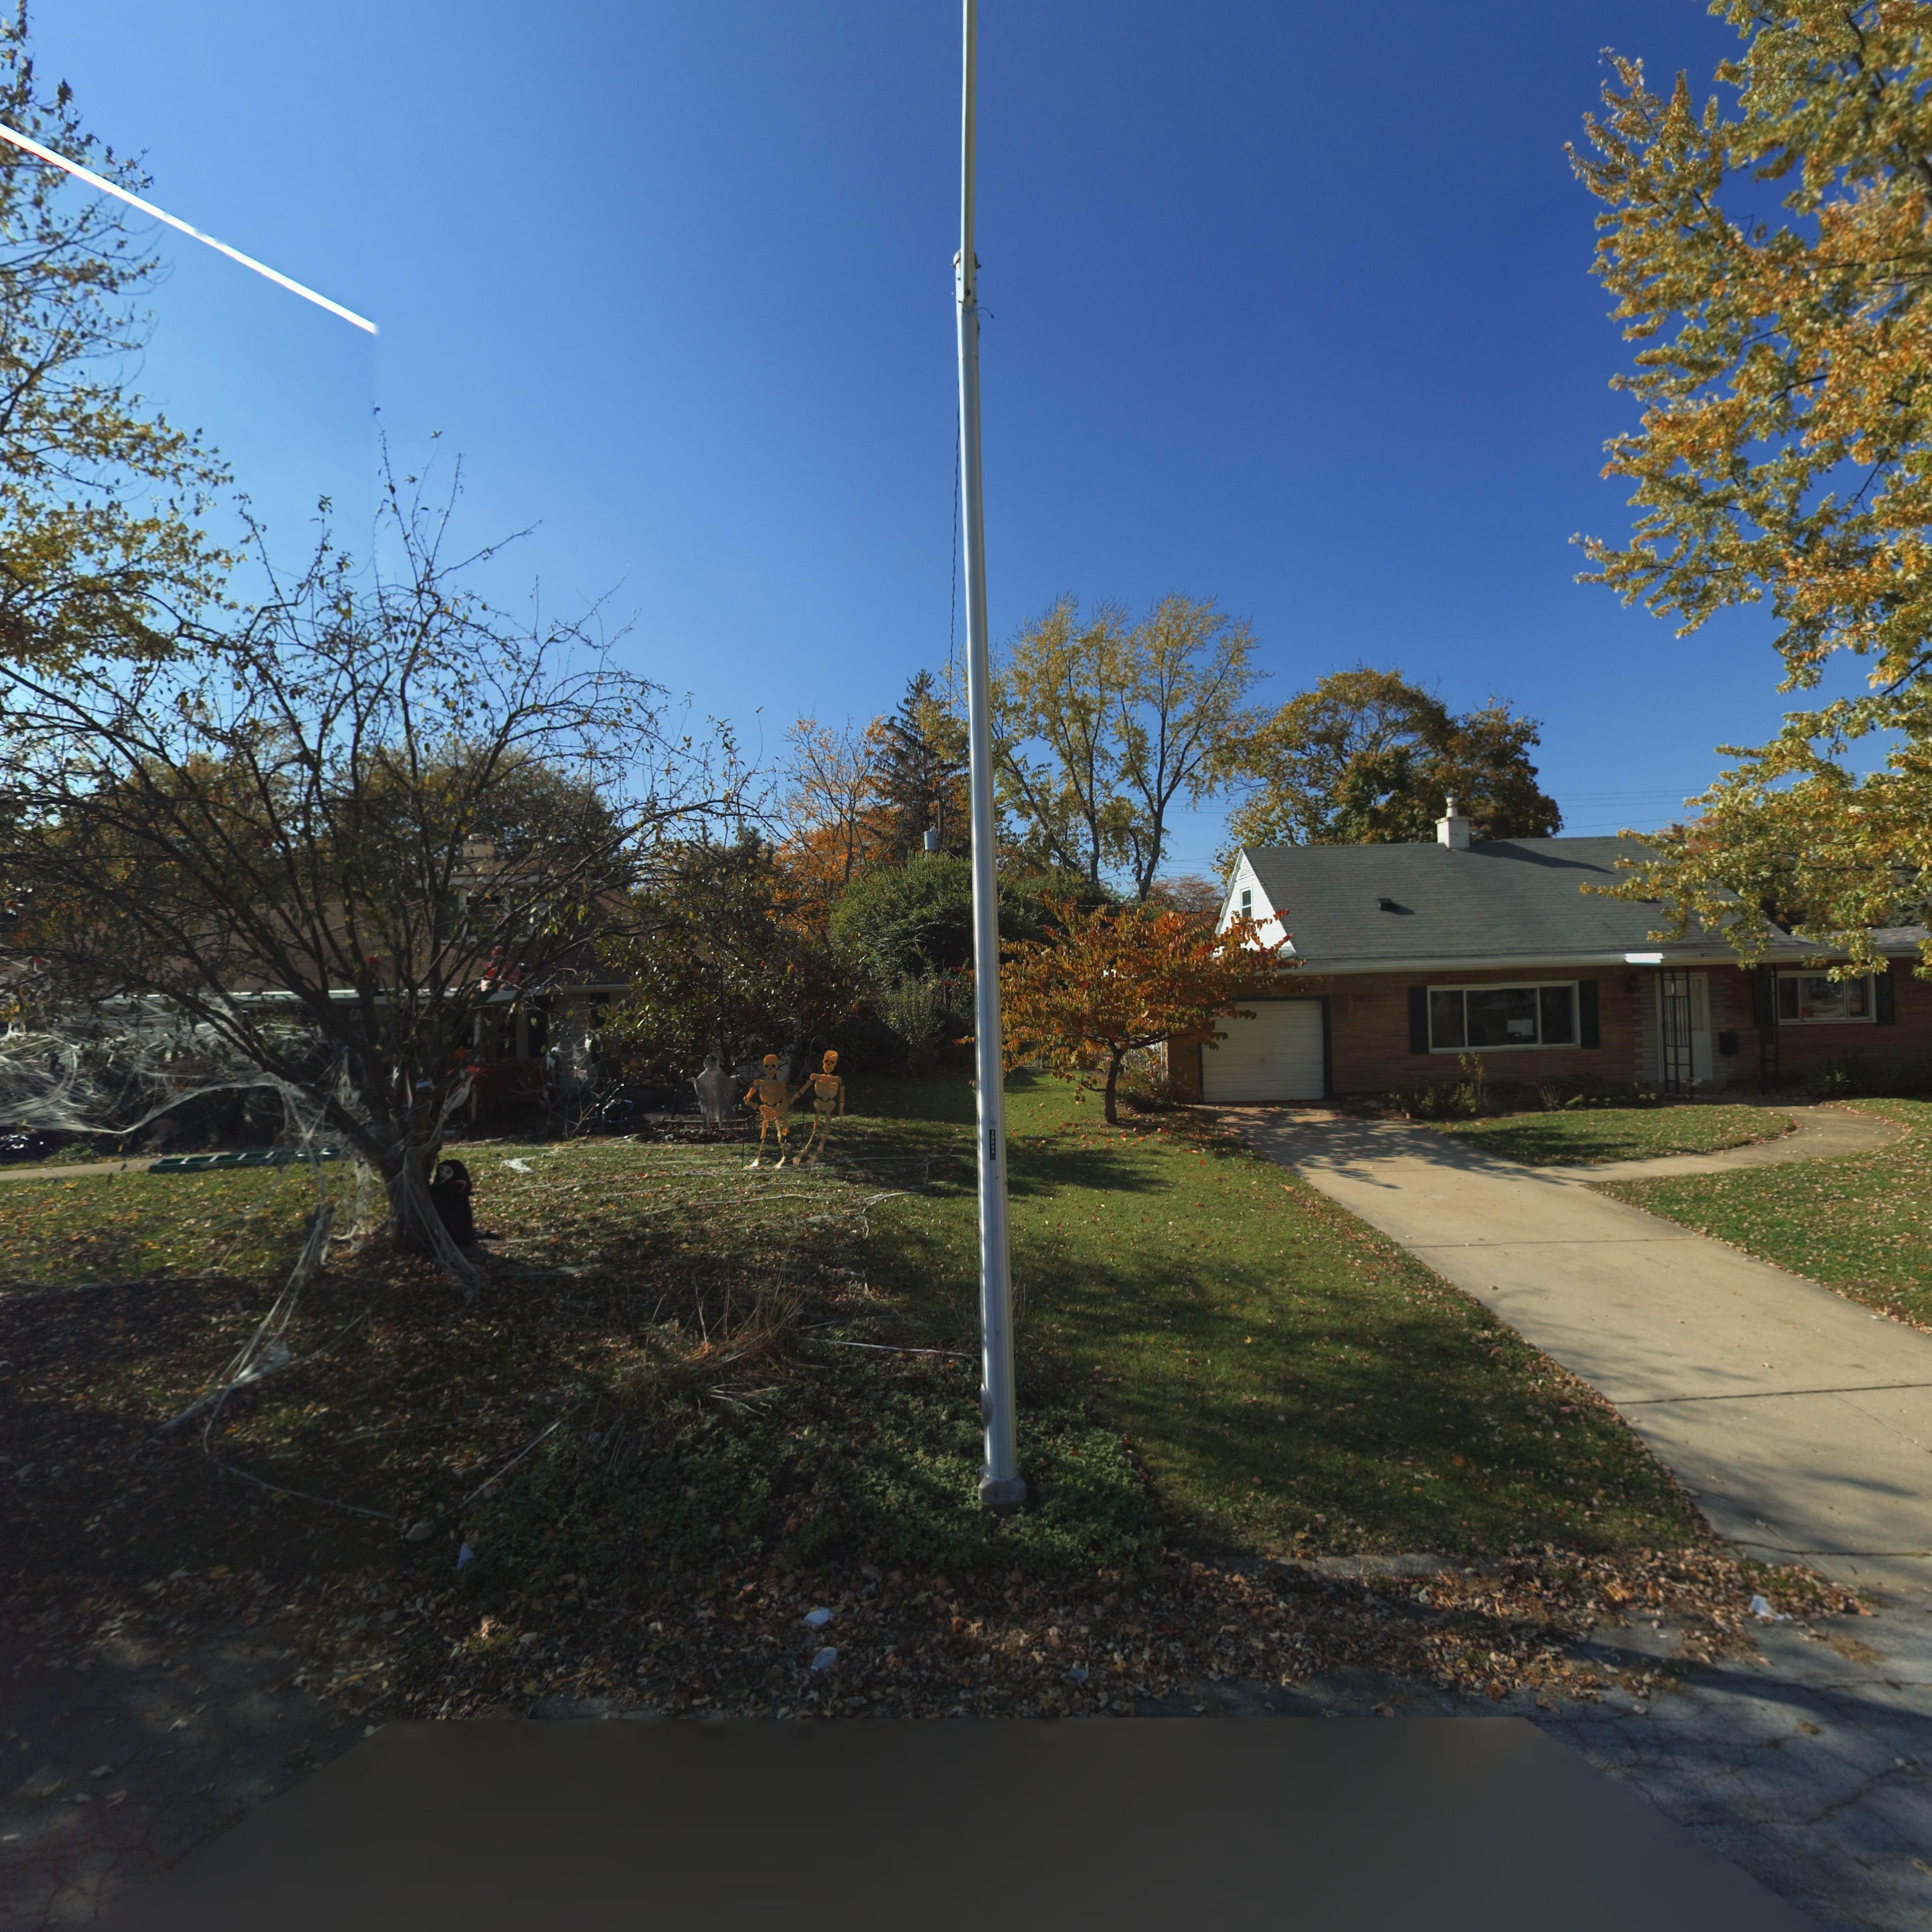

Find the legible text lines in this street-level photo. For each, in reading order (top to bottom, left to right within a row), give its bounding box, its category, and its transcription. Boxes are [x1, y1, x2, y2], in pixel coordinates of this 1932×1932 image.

[990, 1130, 995, 1154] None: 13524